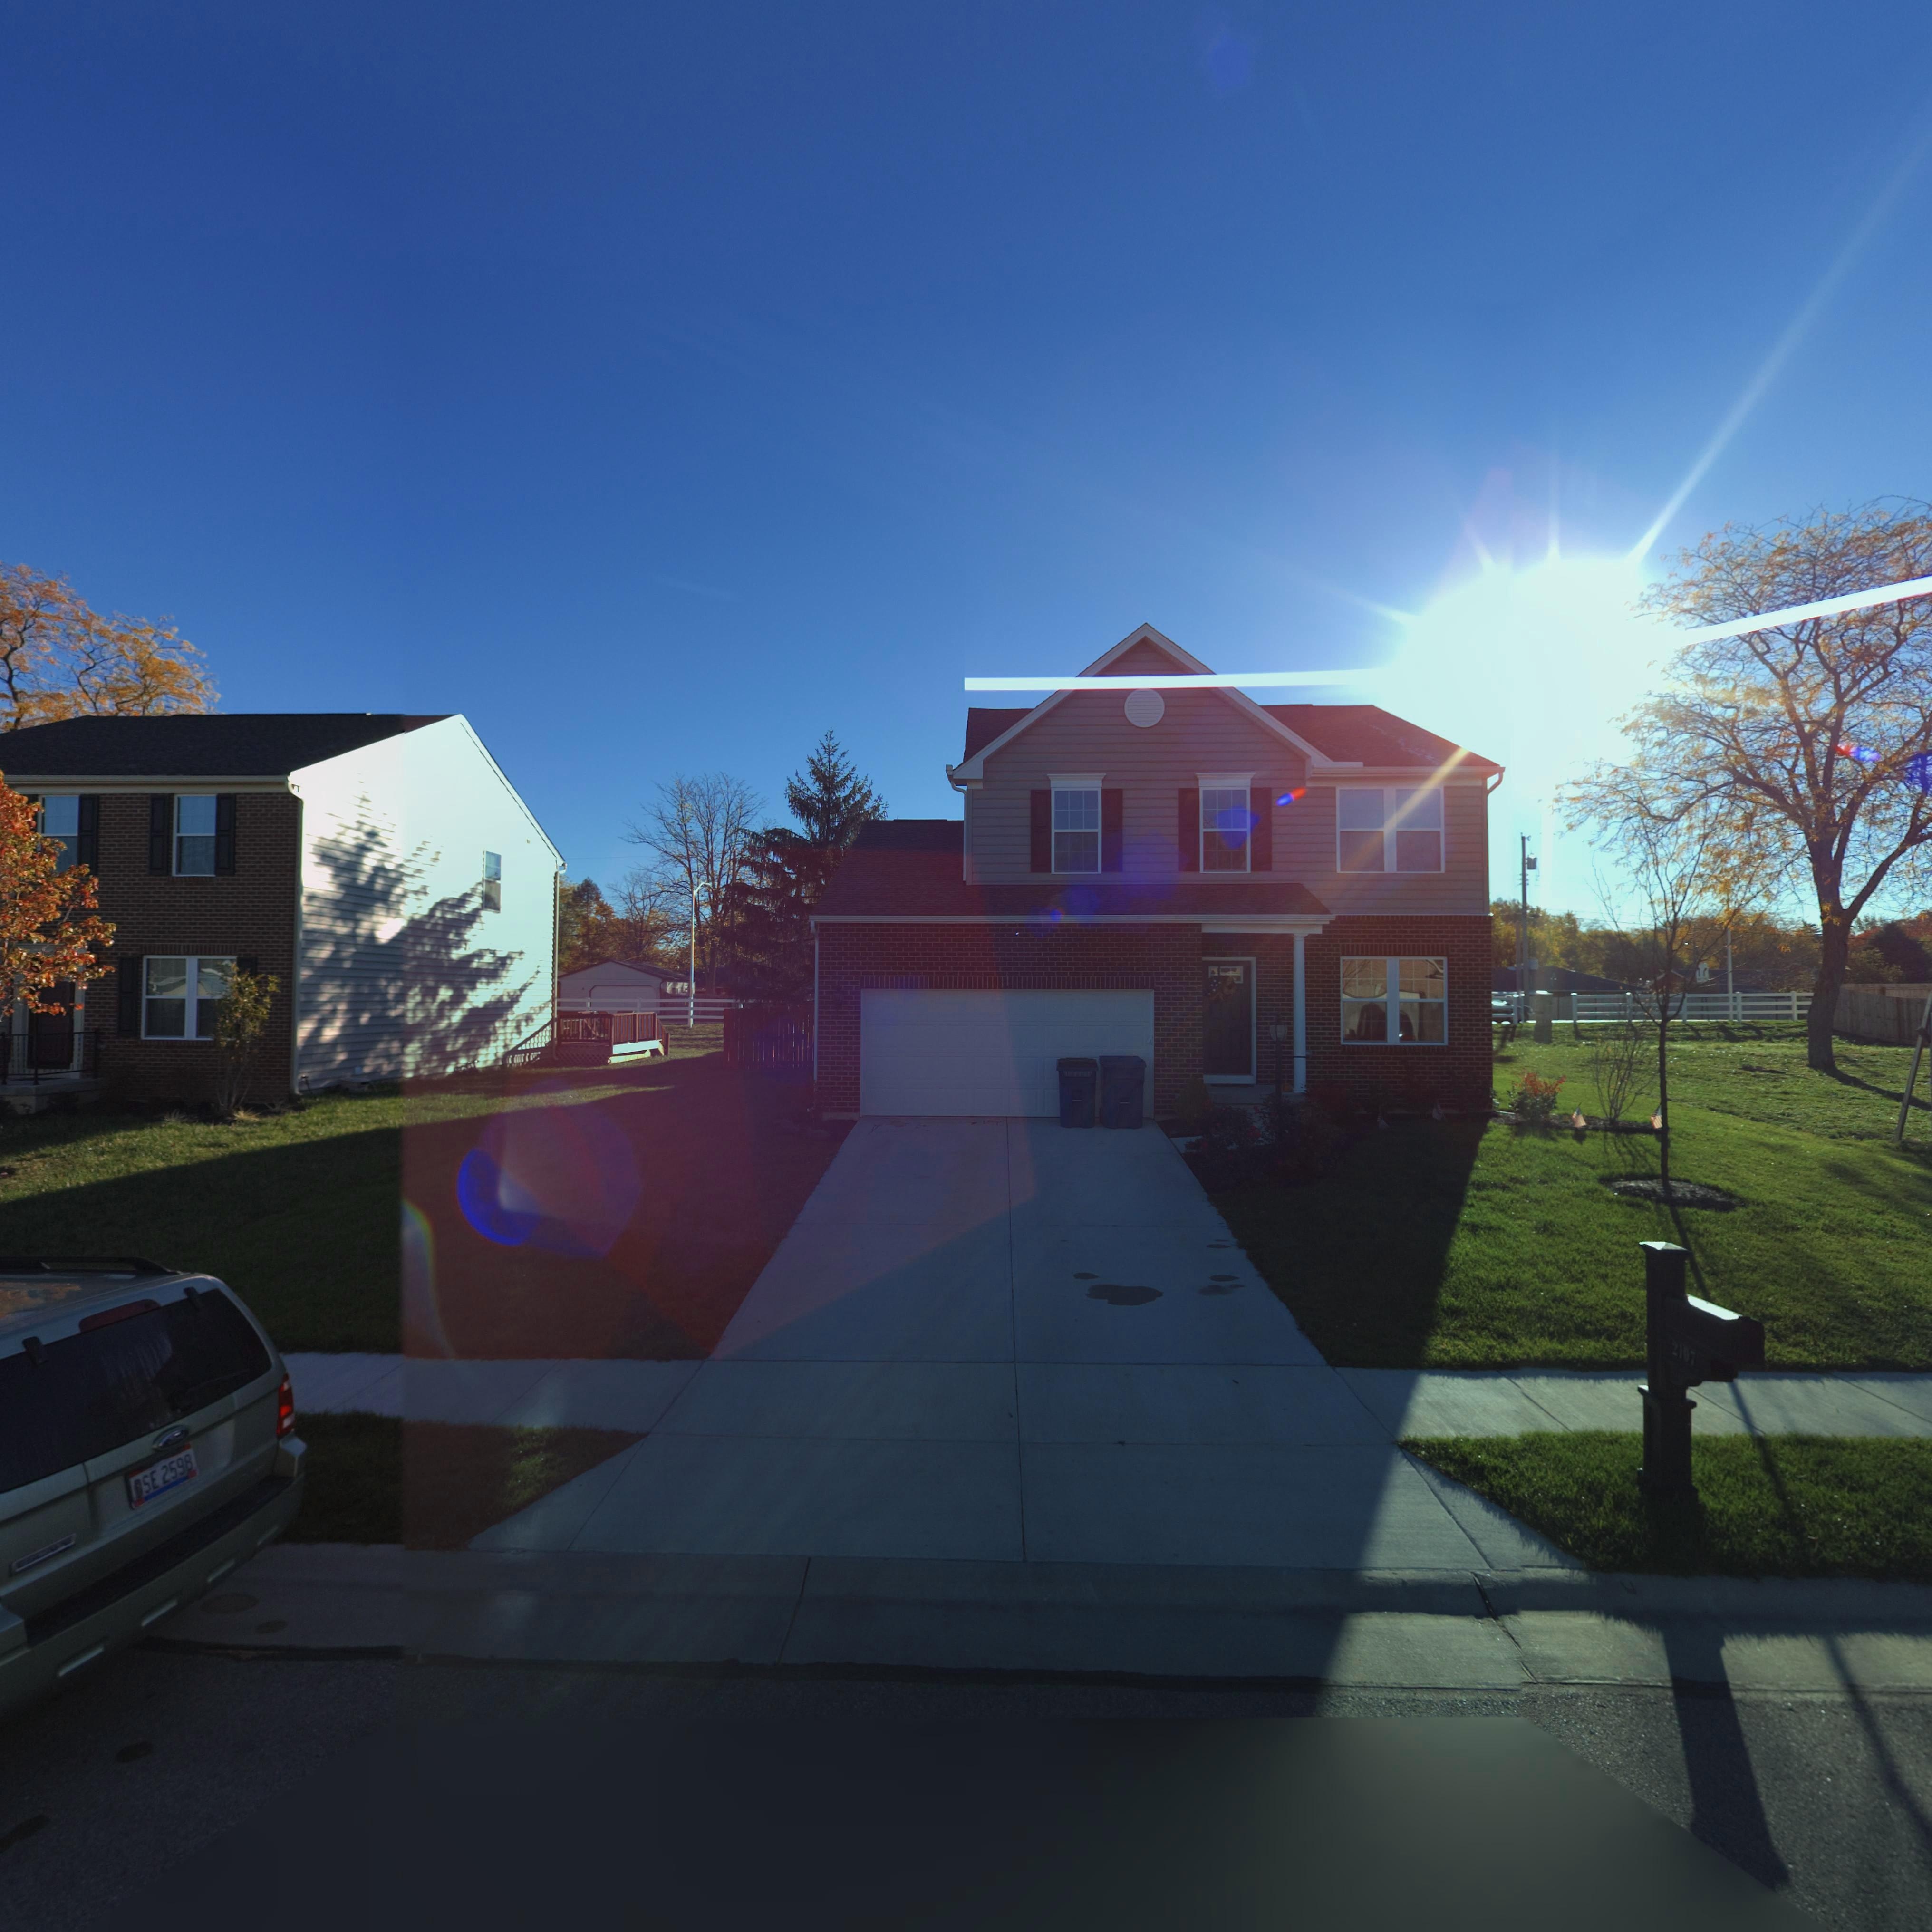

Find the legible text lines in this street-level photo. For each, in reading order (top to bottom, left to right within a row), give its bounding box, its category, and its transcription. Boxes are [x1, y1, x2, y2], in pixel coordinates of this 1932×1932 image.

[1671, 1338, 1697, 1367] StreetNumber: 2107